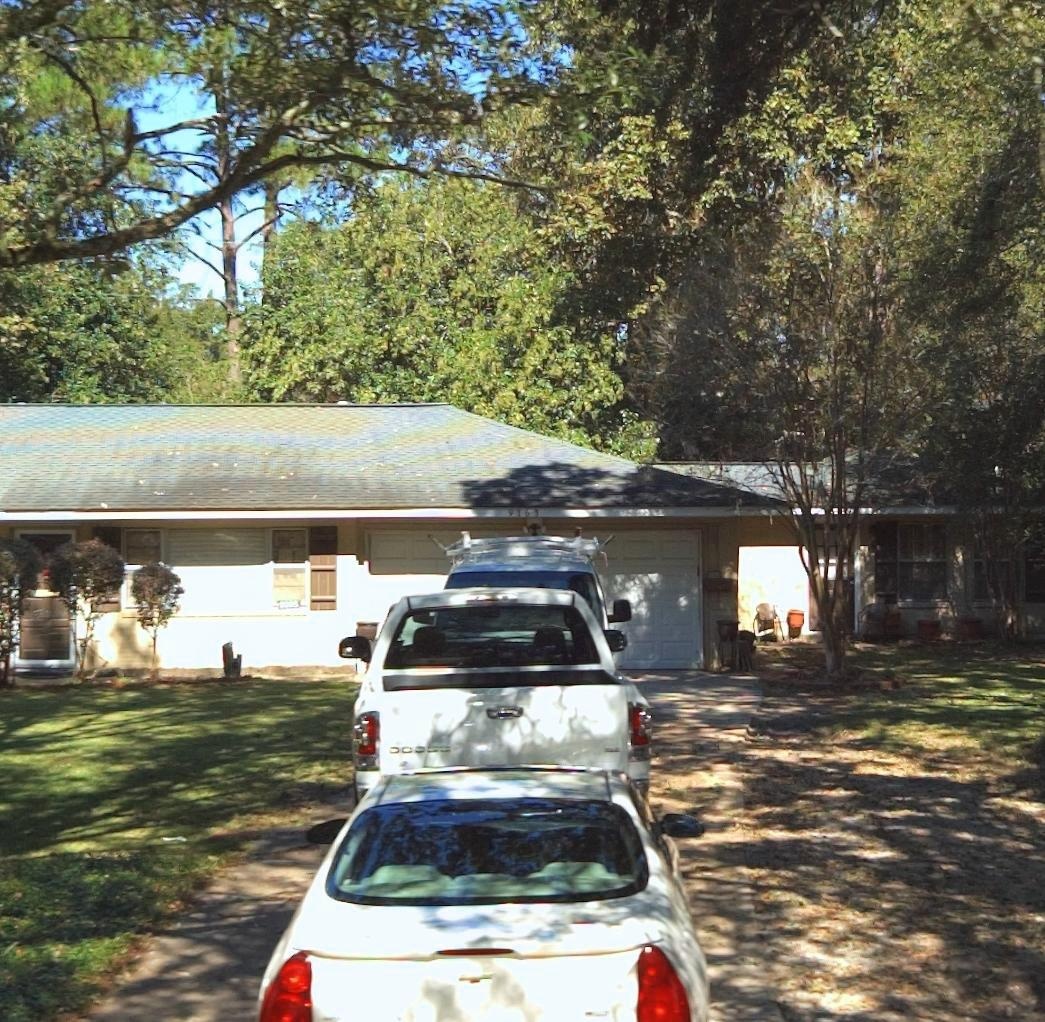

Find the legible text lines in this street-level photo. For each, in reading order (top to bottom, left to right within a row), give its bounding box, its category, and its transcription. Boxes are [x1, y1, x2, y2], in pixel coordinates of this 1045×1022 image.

[506, 507, 541, 518] StreetNumber: 916*
[388, 743, 453, 756] None: DODGE